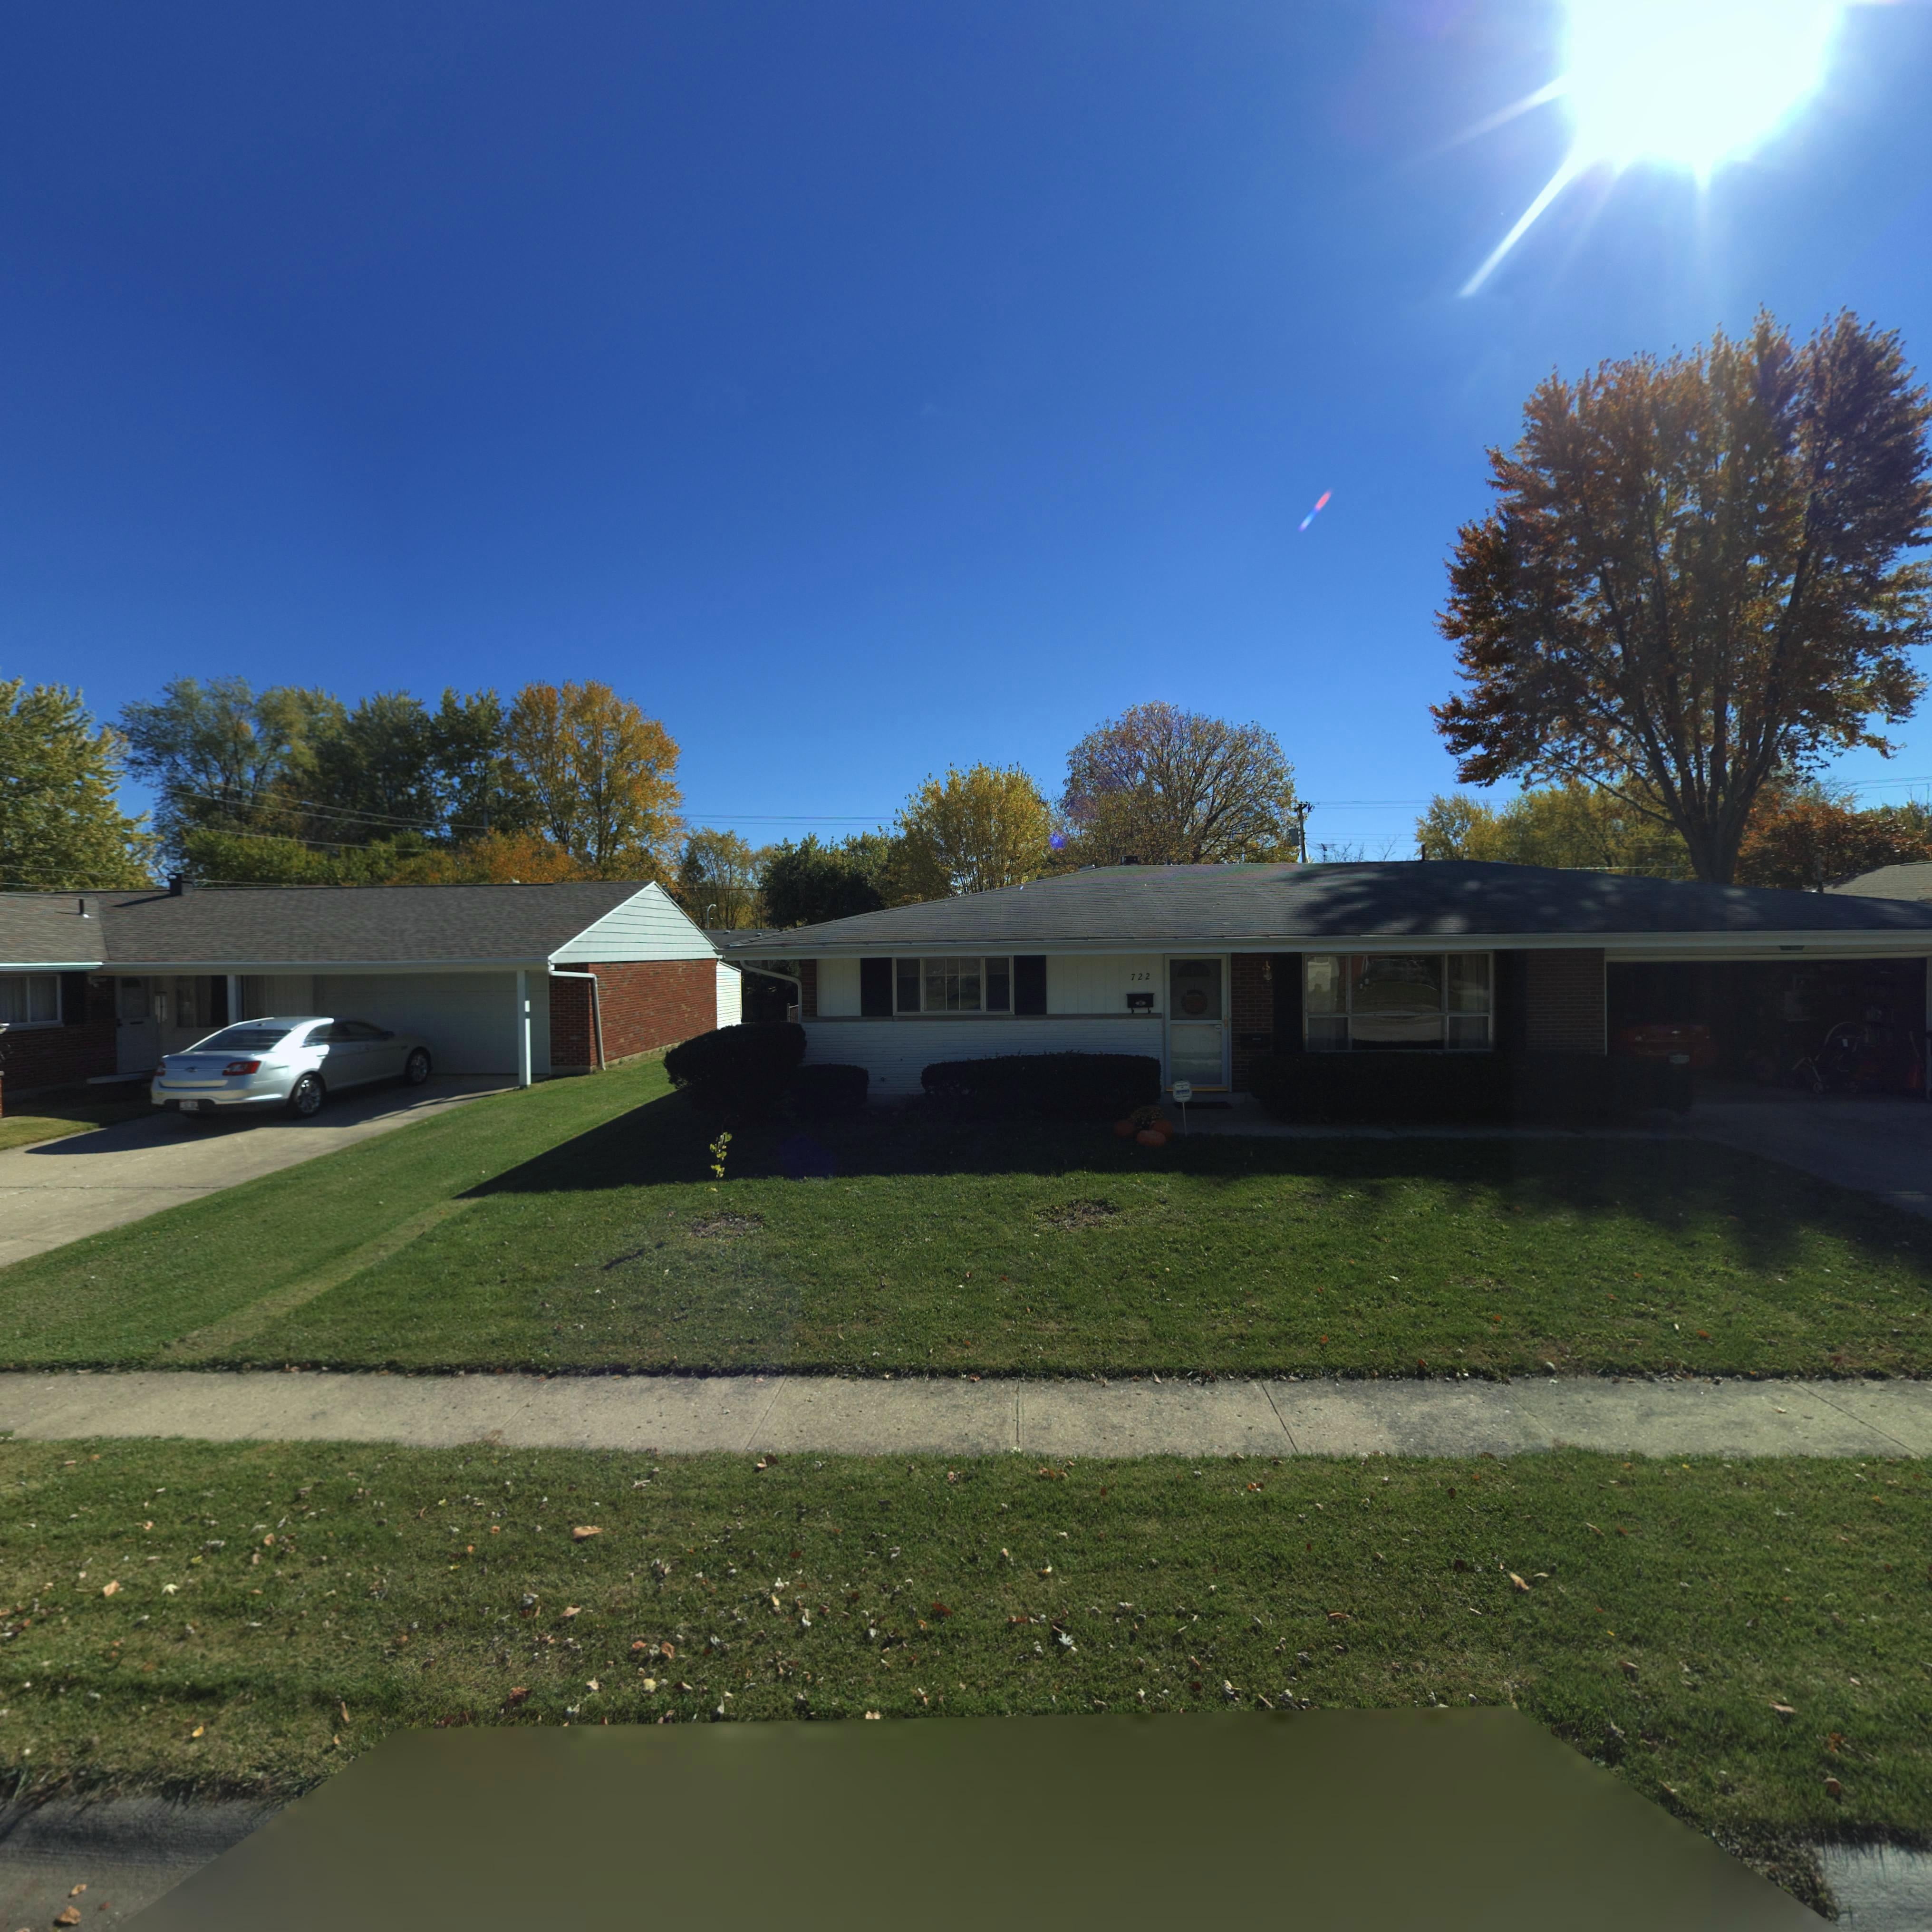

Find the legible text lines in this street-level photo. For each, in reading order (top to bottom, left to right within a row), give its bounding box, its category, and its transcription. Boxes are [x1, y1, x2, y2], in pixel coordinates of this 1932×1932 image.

[1130, 972, 1151, 982] StreetNumber: 722